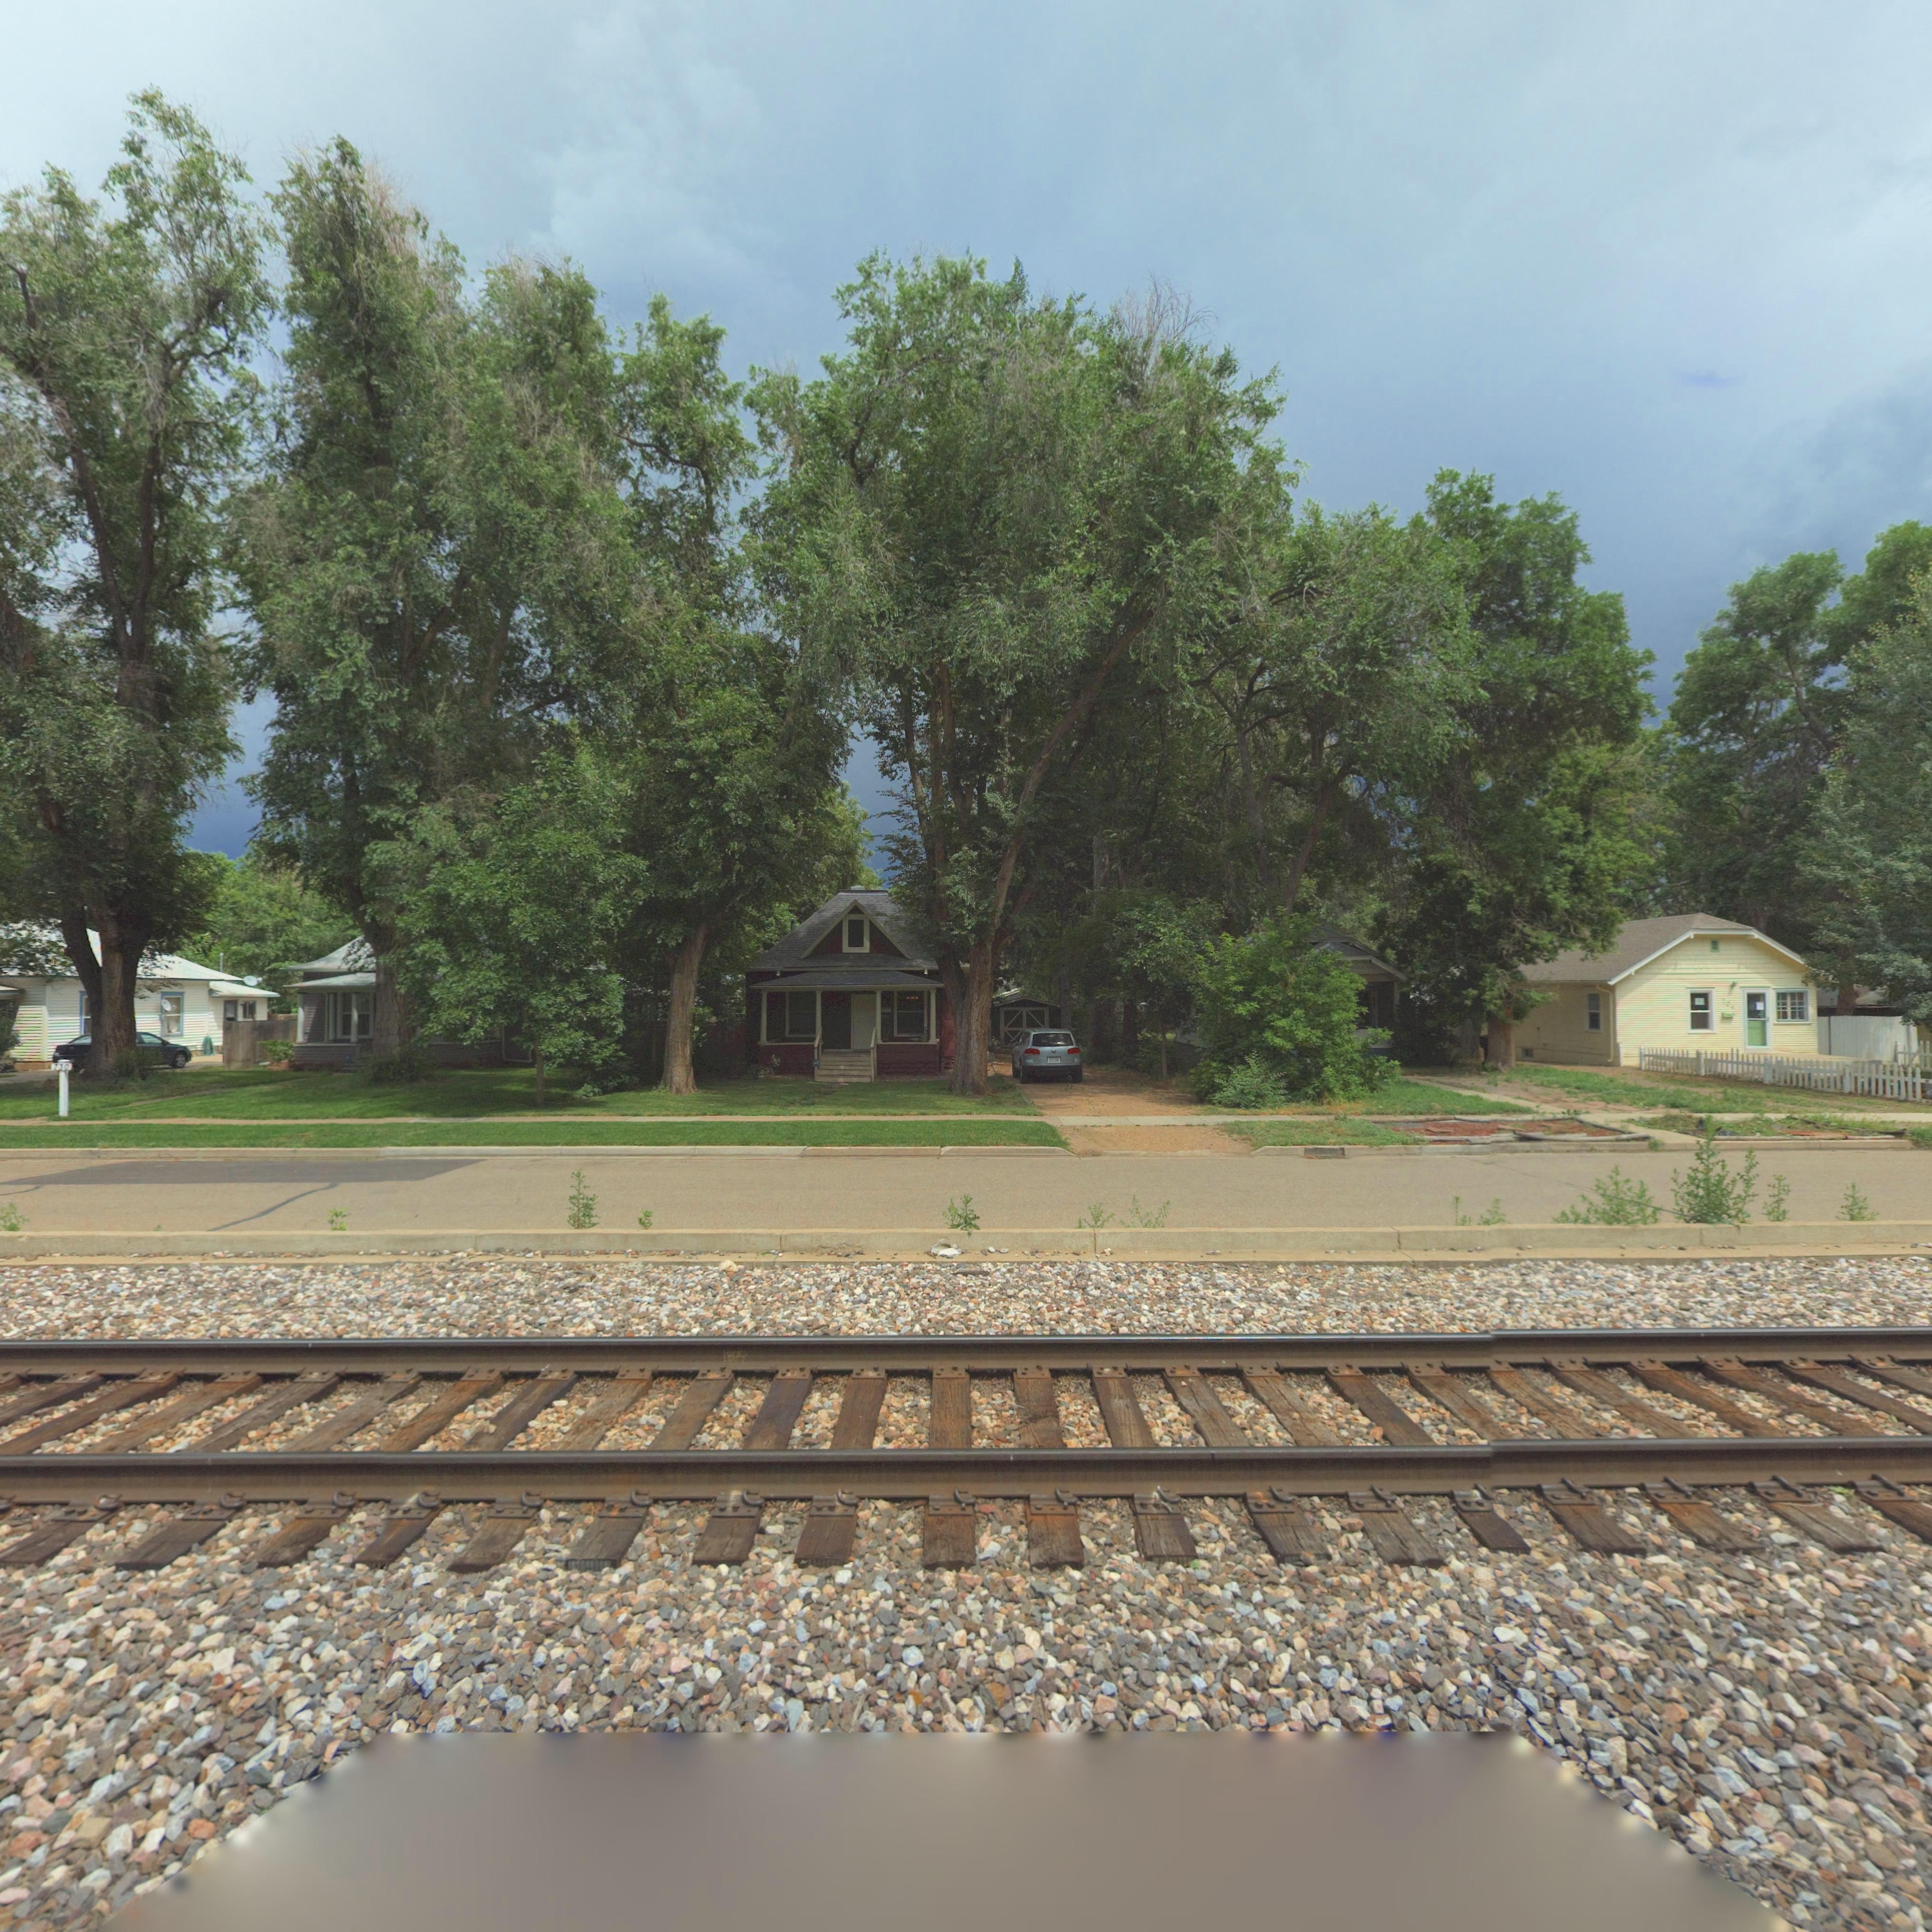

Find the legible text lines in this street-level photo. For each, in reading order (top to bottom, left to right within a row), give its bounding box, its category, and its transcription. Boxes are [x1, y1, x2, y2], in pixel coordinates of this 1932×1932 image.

[1720, 996, 1735, 1010] StreetNumber: 7**
[52, 1063, 69, 1070] StreetNumber: 730